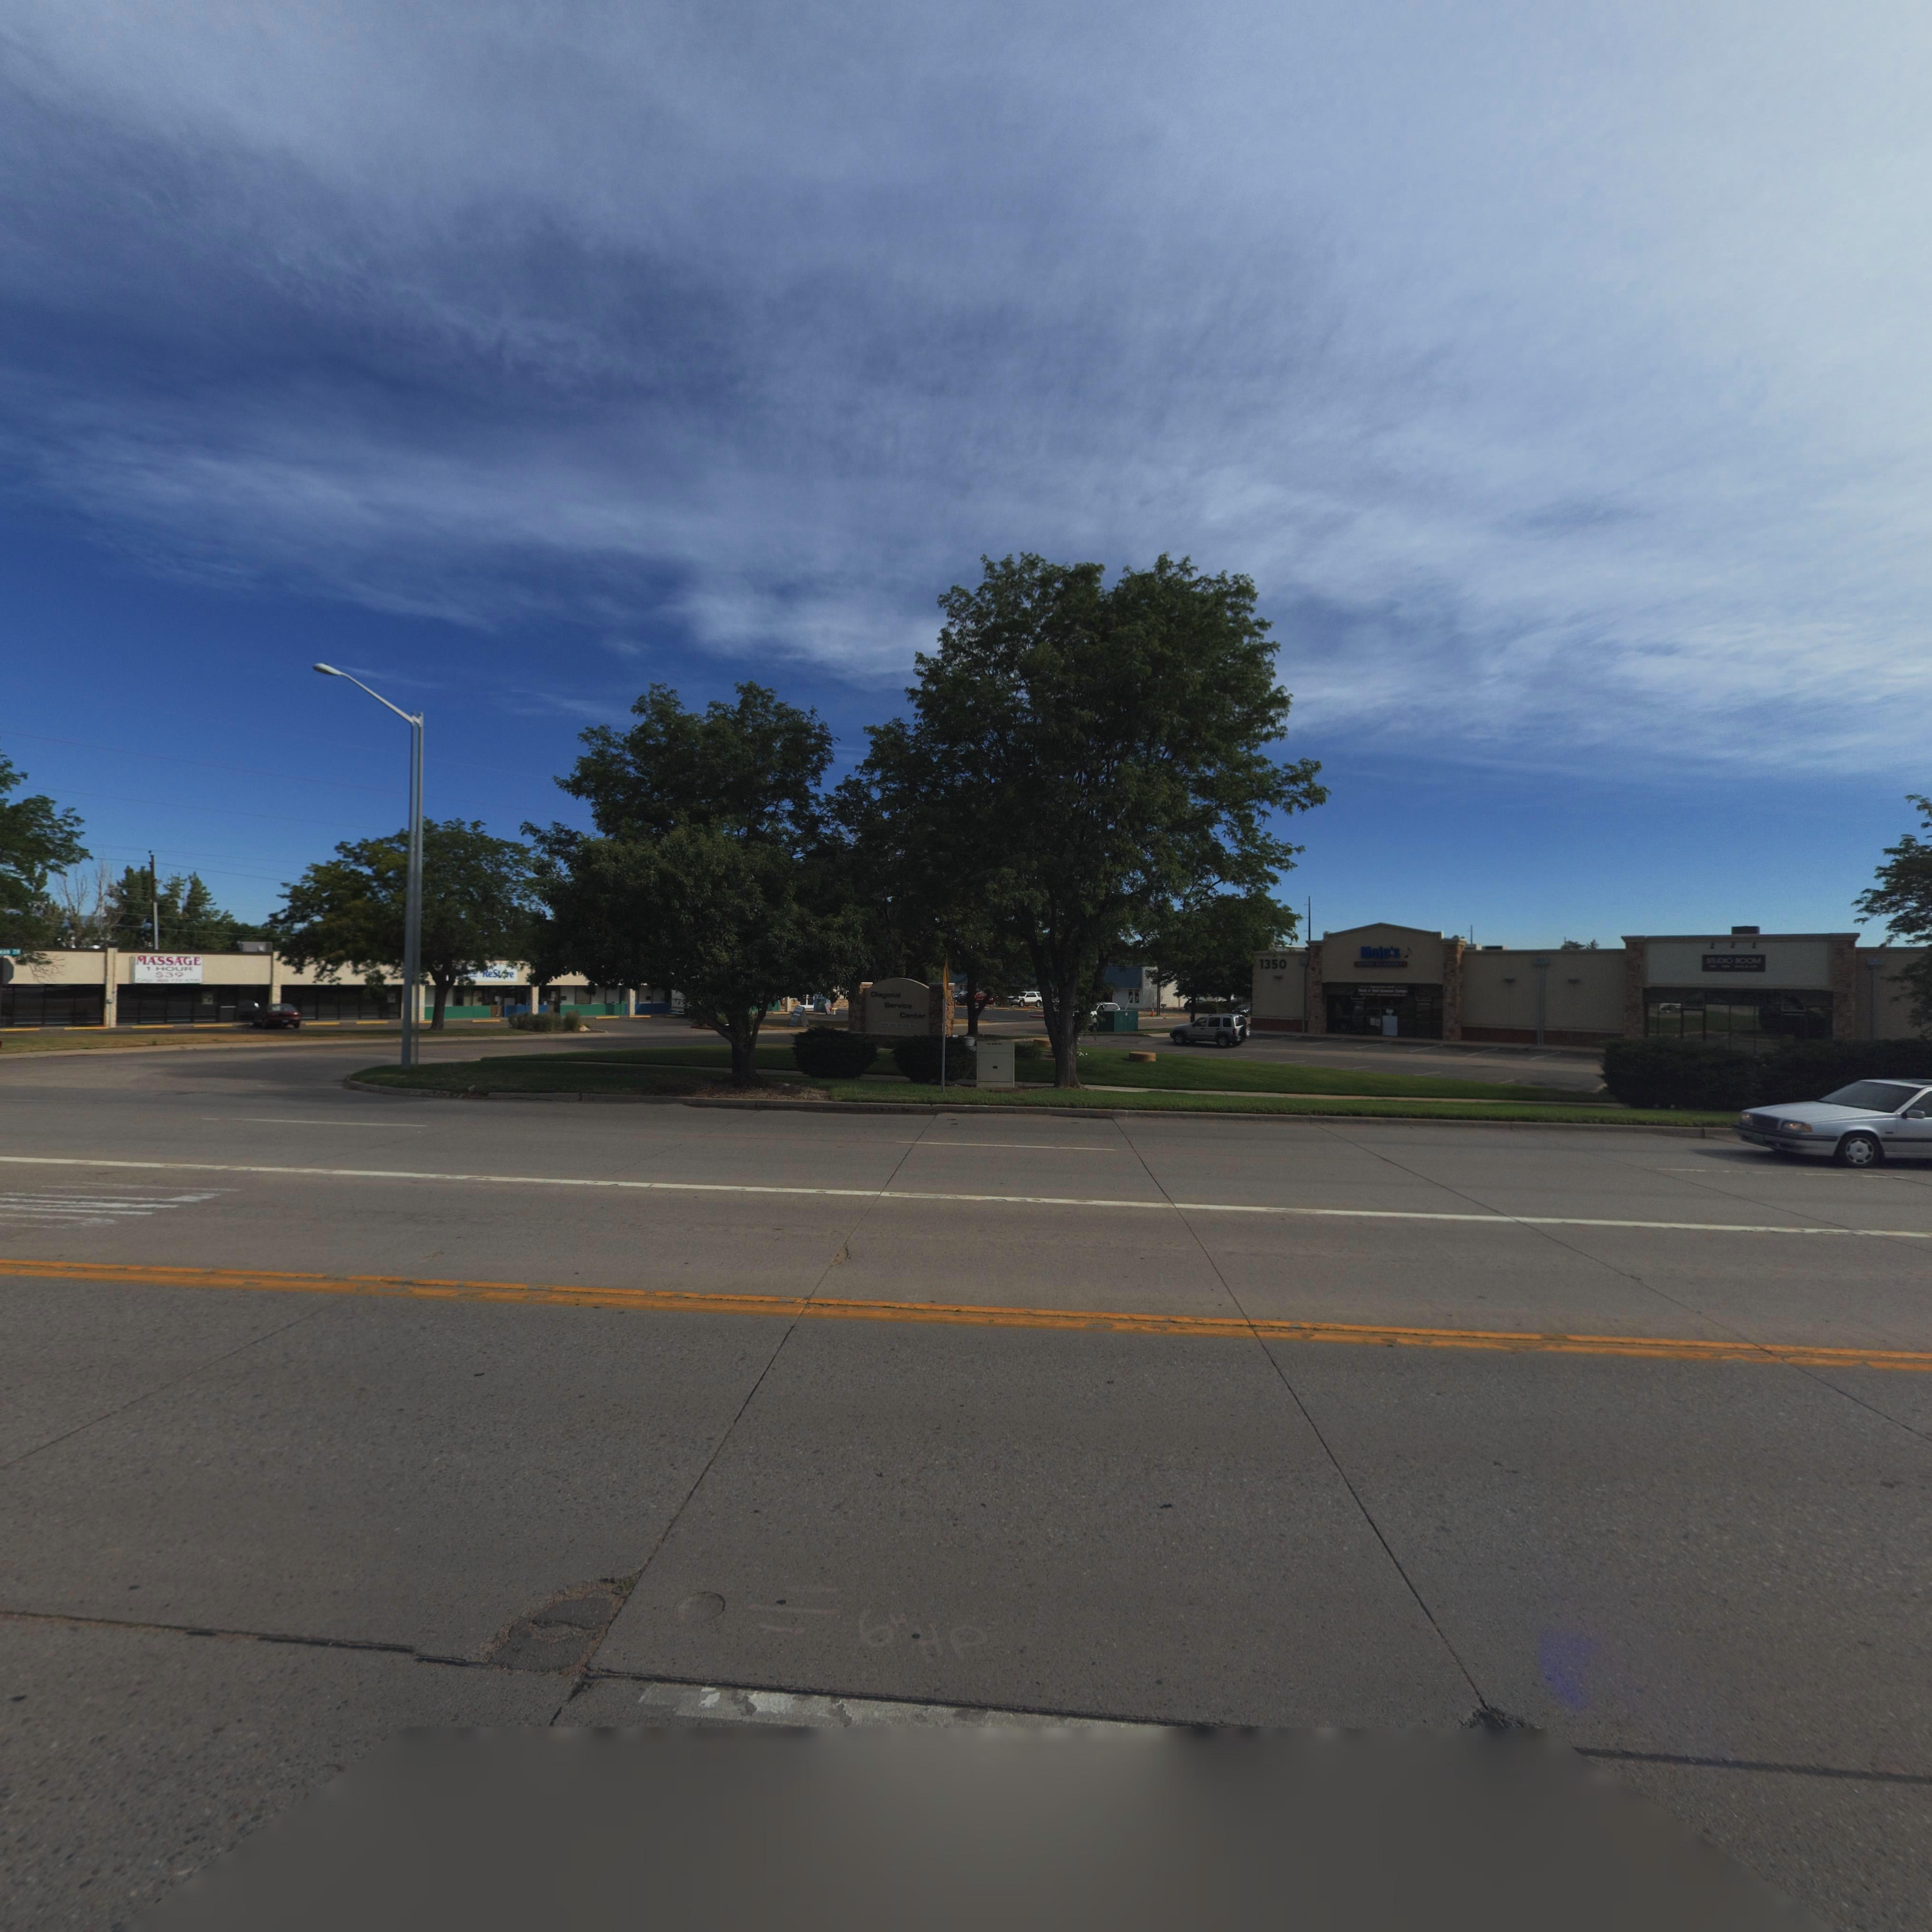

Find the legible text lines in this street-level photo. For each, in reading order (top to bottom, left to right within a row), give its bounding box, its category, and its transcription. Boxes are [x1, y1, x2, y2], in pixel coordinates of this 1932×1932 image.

[1360, 946, 1400, 959] BusinessName: MOJO'S
[1259, 958, 1287, 969] StreetNumber: 1350
[1706, 957, 1761, 964] BusinessName: STUDIO BOOM